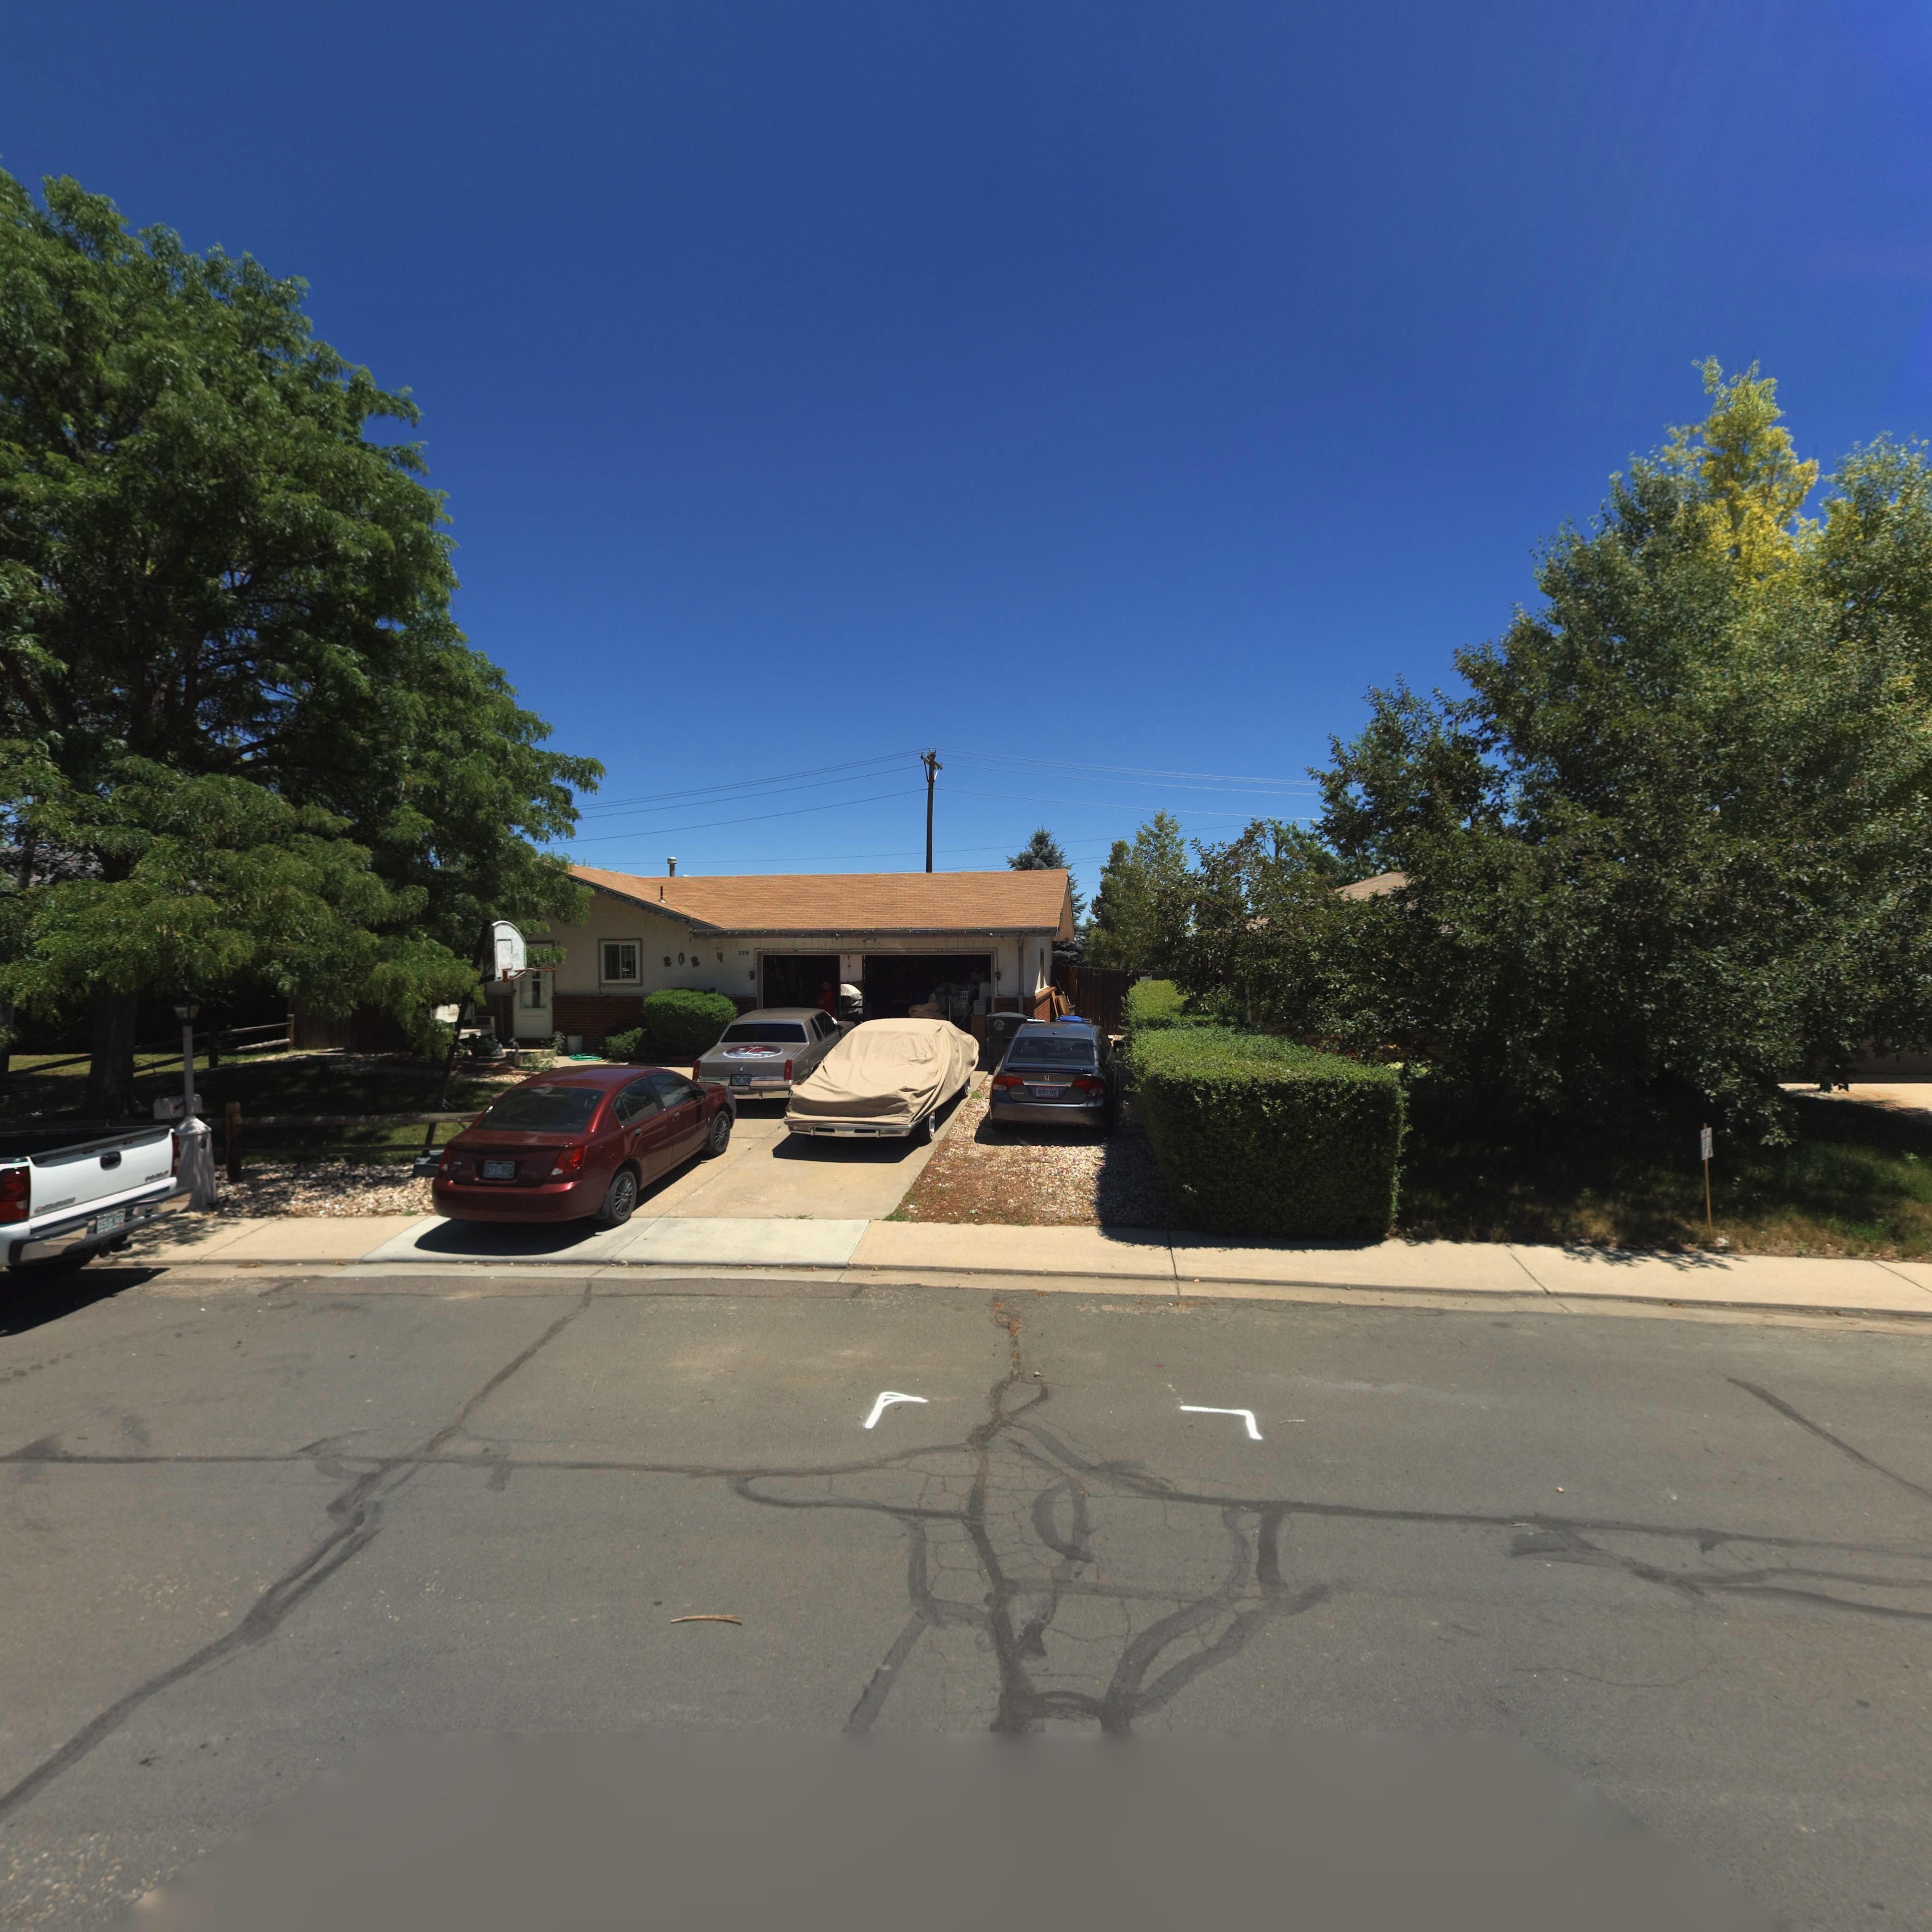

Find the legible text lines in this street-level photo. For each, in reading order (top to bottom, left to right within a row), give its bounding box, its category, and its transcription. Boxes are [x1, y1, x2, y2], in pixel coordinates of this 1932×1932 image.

[738, 950, 749, 955] StreetNumber: 2218